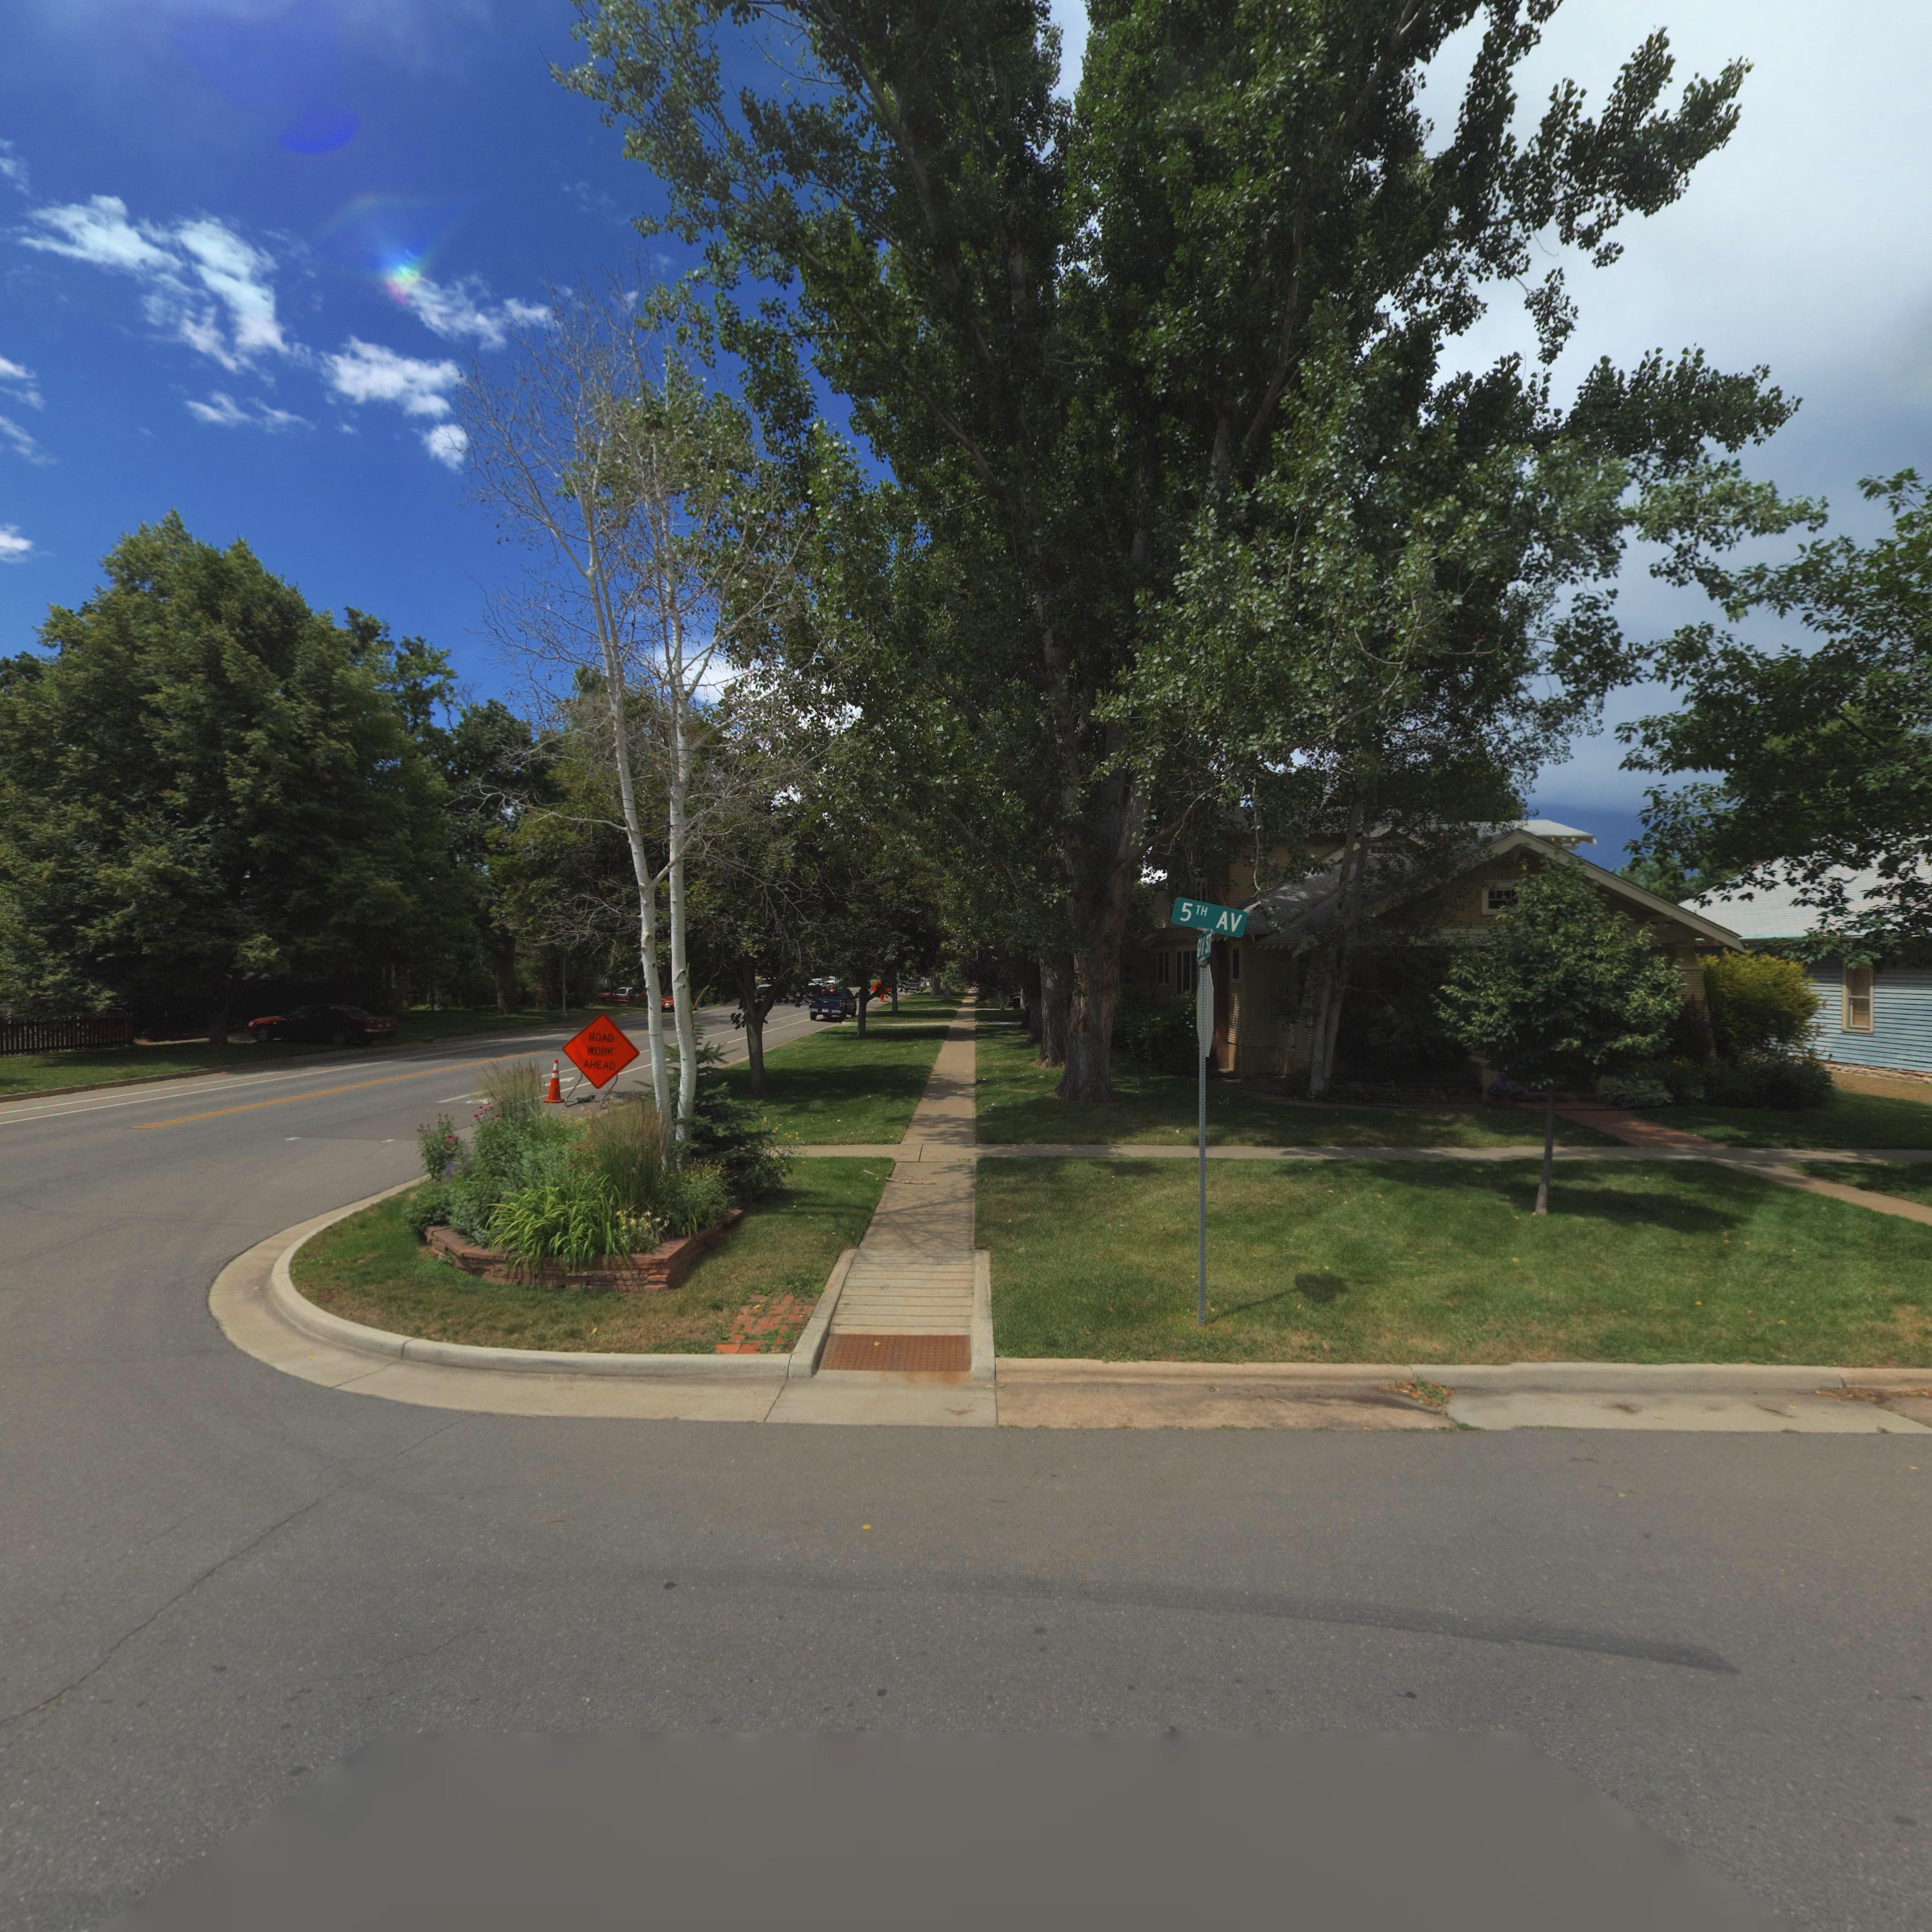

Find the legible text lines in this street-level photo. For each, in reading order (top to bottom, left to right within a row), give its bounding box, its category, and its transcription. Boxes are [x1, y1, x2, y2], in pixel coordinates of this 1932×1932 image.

[1179, 901, 1243, 933] StreetName: 5TH AV
[1196, 932, 1211, 958] StreetName: G*Y ST